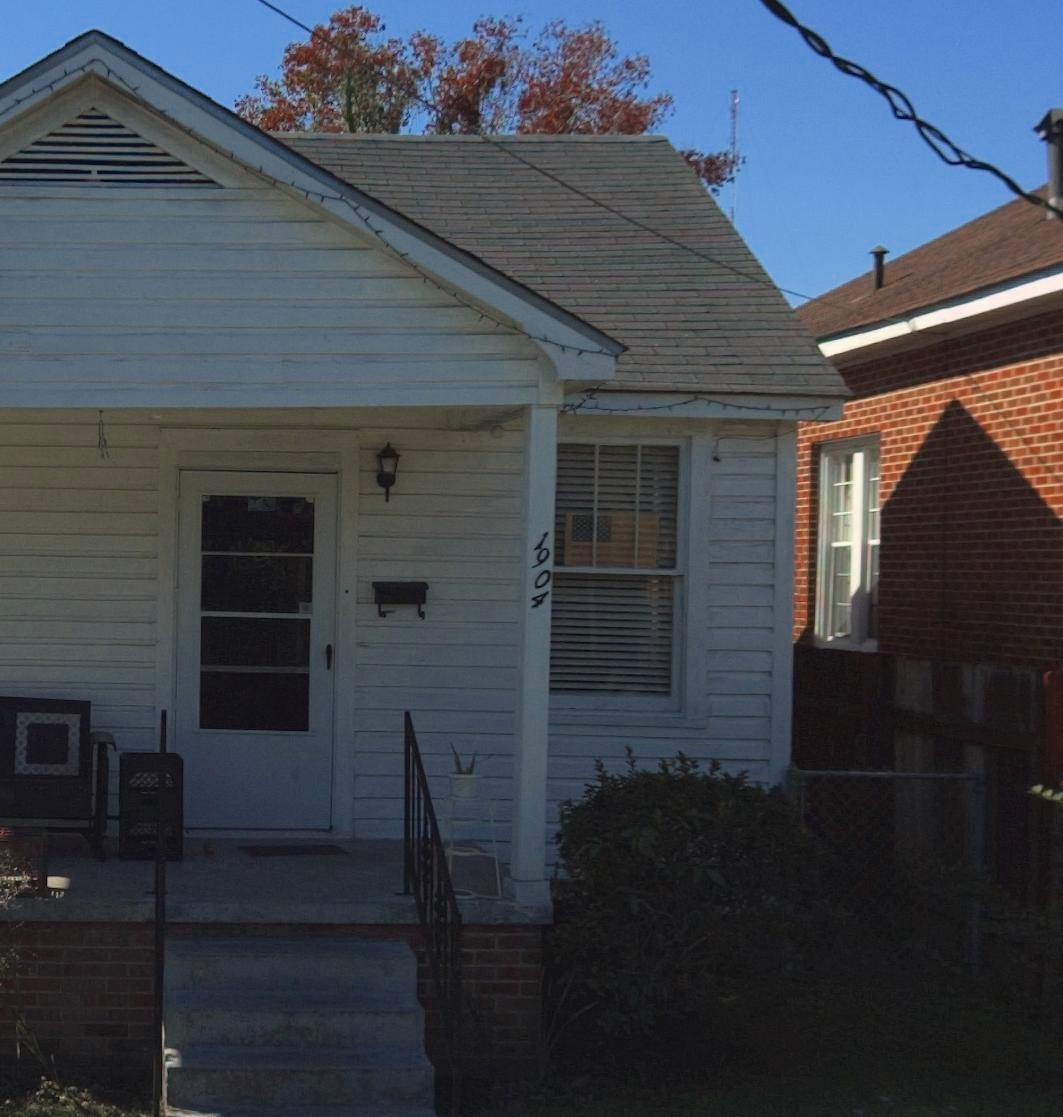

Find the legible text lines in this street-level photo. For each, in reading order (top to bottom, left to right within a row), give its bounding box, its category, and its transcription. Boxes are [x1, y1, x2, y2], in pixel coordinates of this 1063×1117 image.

[528, 529, 552, 611] StreetNumber: 1904